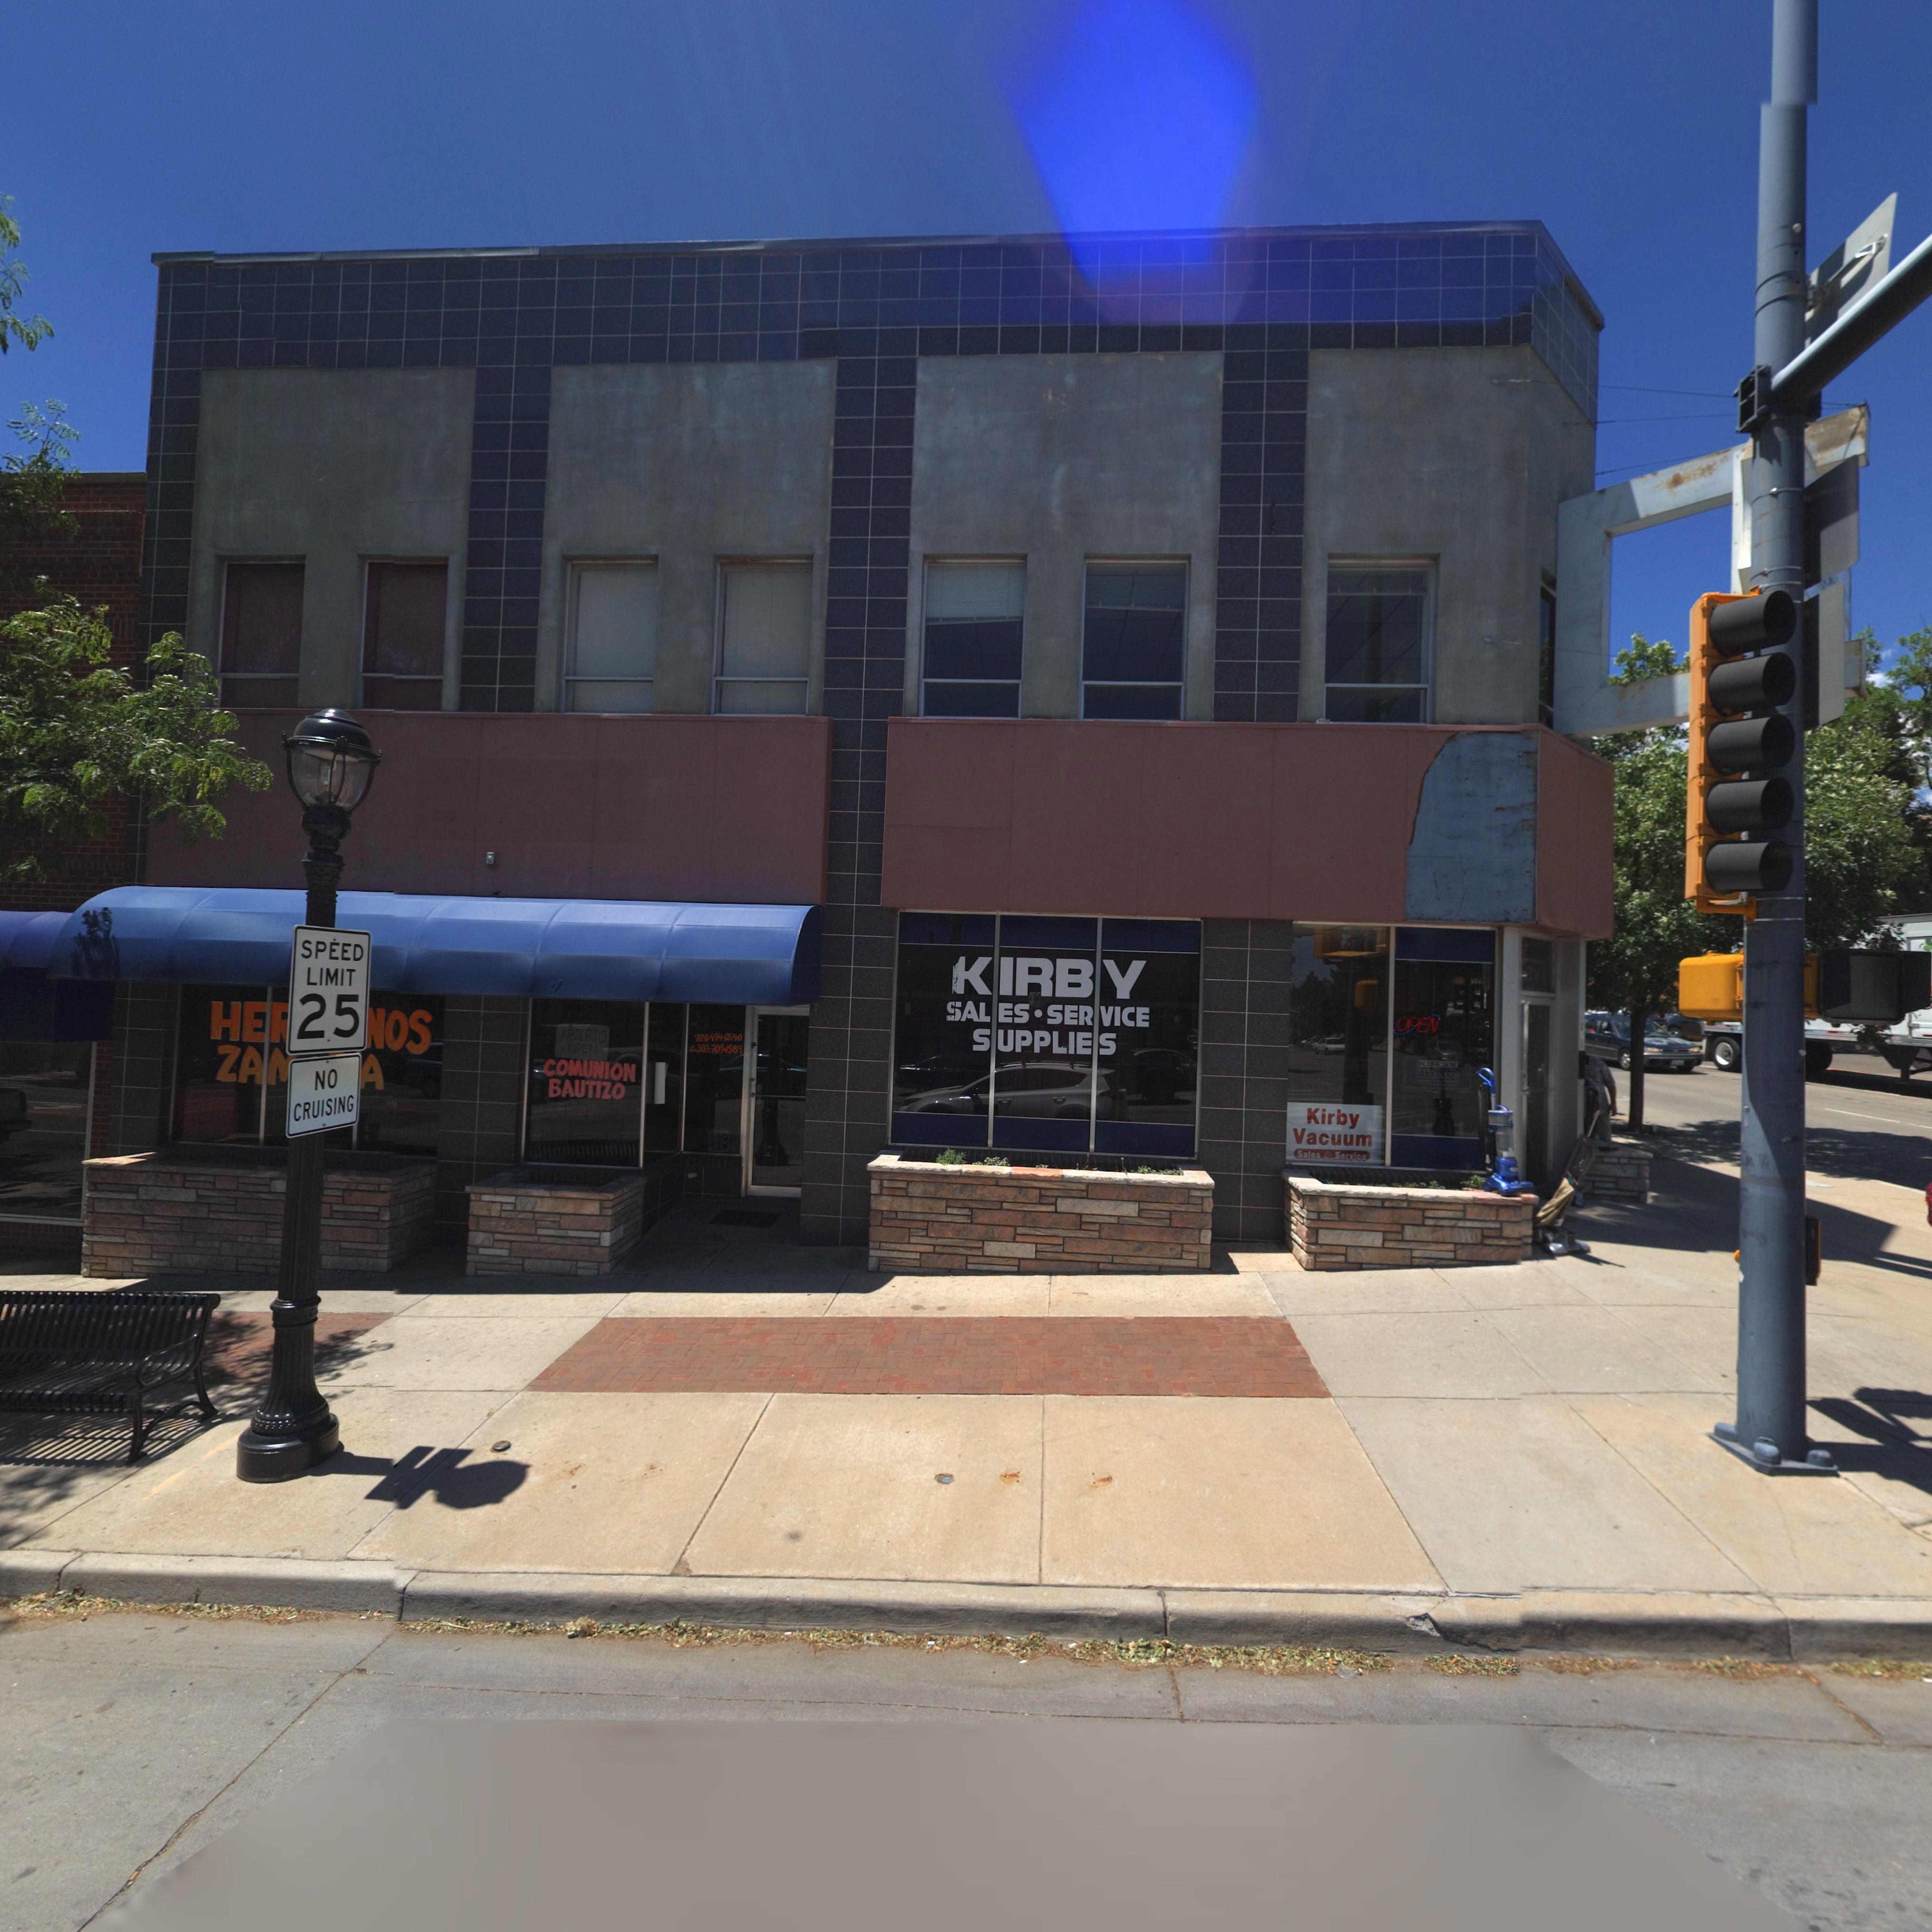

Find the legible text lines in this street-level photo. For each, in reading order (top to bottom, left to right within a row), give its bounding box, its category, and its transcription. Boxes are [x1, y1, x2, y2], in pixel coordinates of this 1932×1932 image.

[951, 956, 1148, 999] BusinessName: KIRBY
[1525, 965, 1542, 984] BusinessName: BY
[1418, 1060, 1458, 1068] BusinessName: KIRBY
[1305, 1107, 1361, 1130] BusinessName: Kirby
[1292, 1128, 1372, 1146] BusinessName: Vacuum